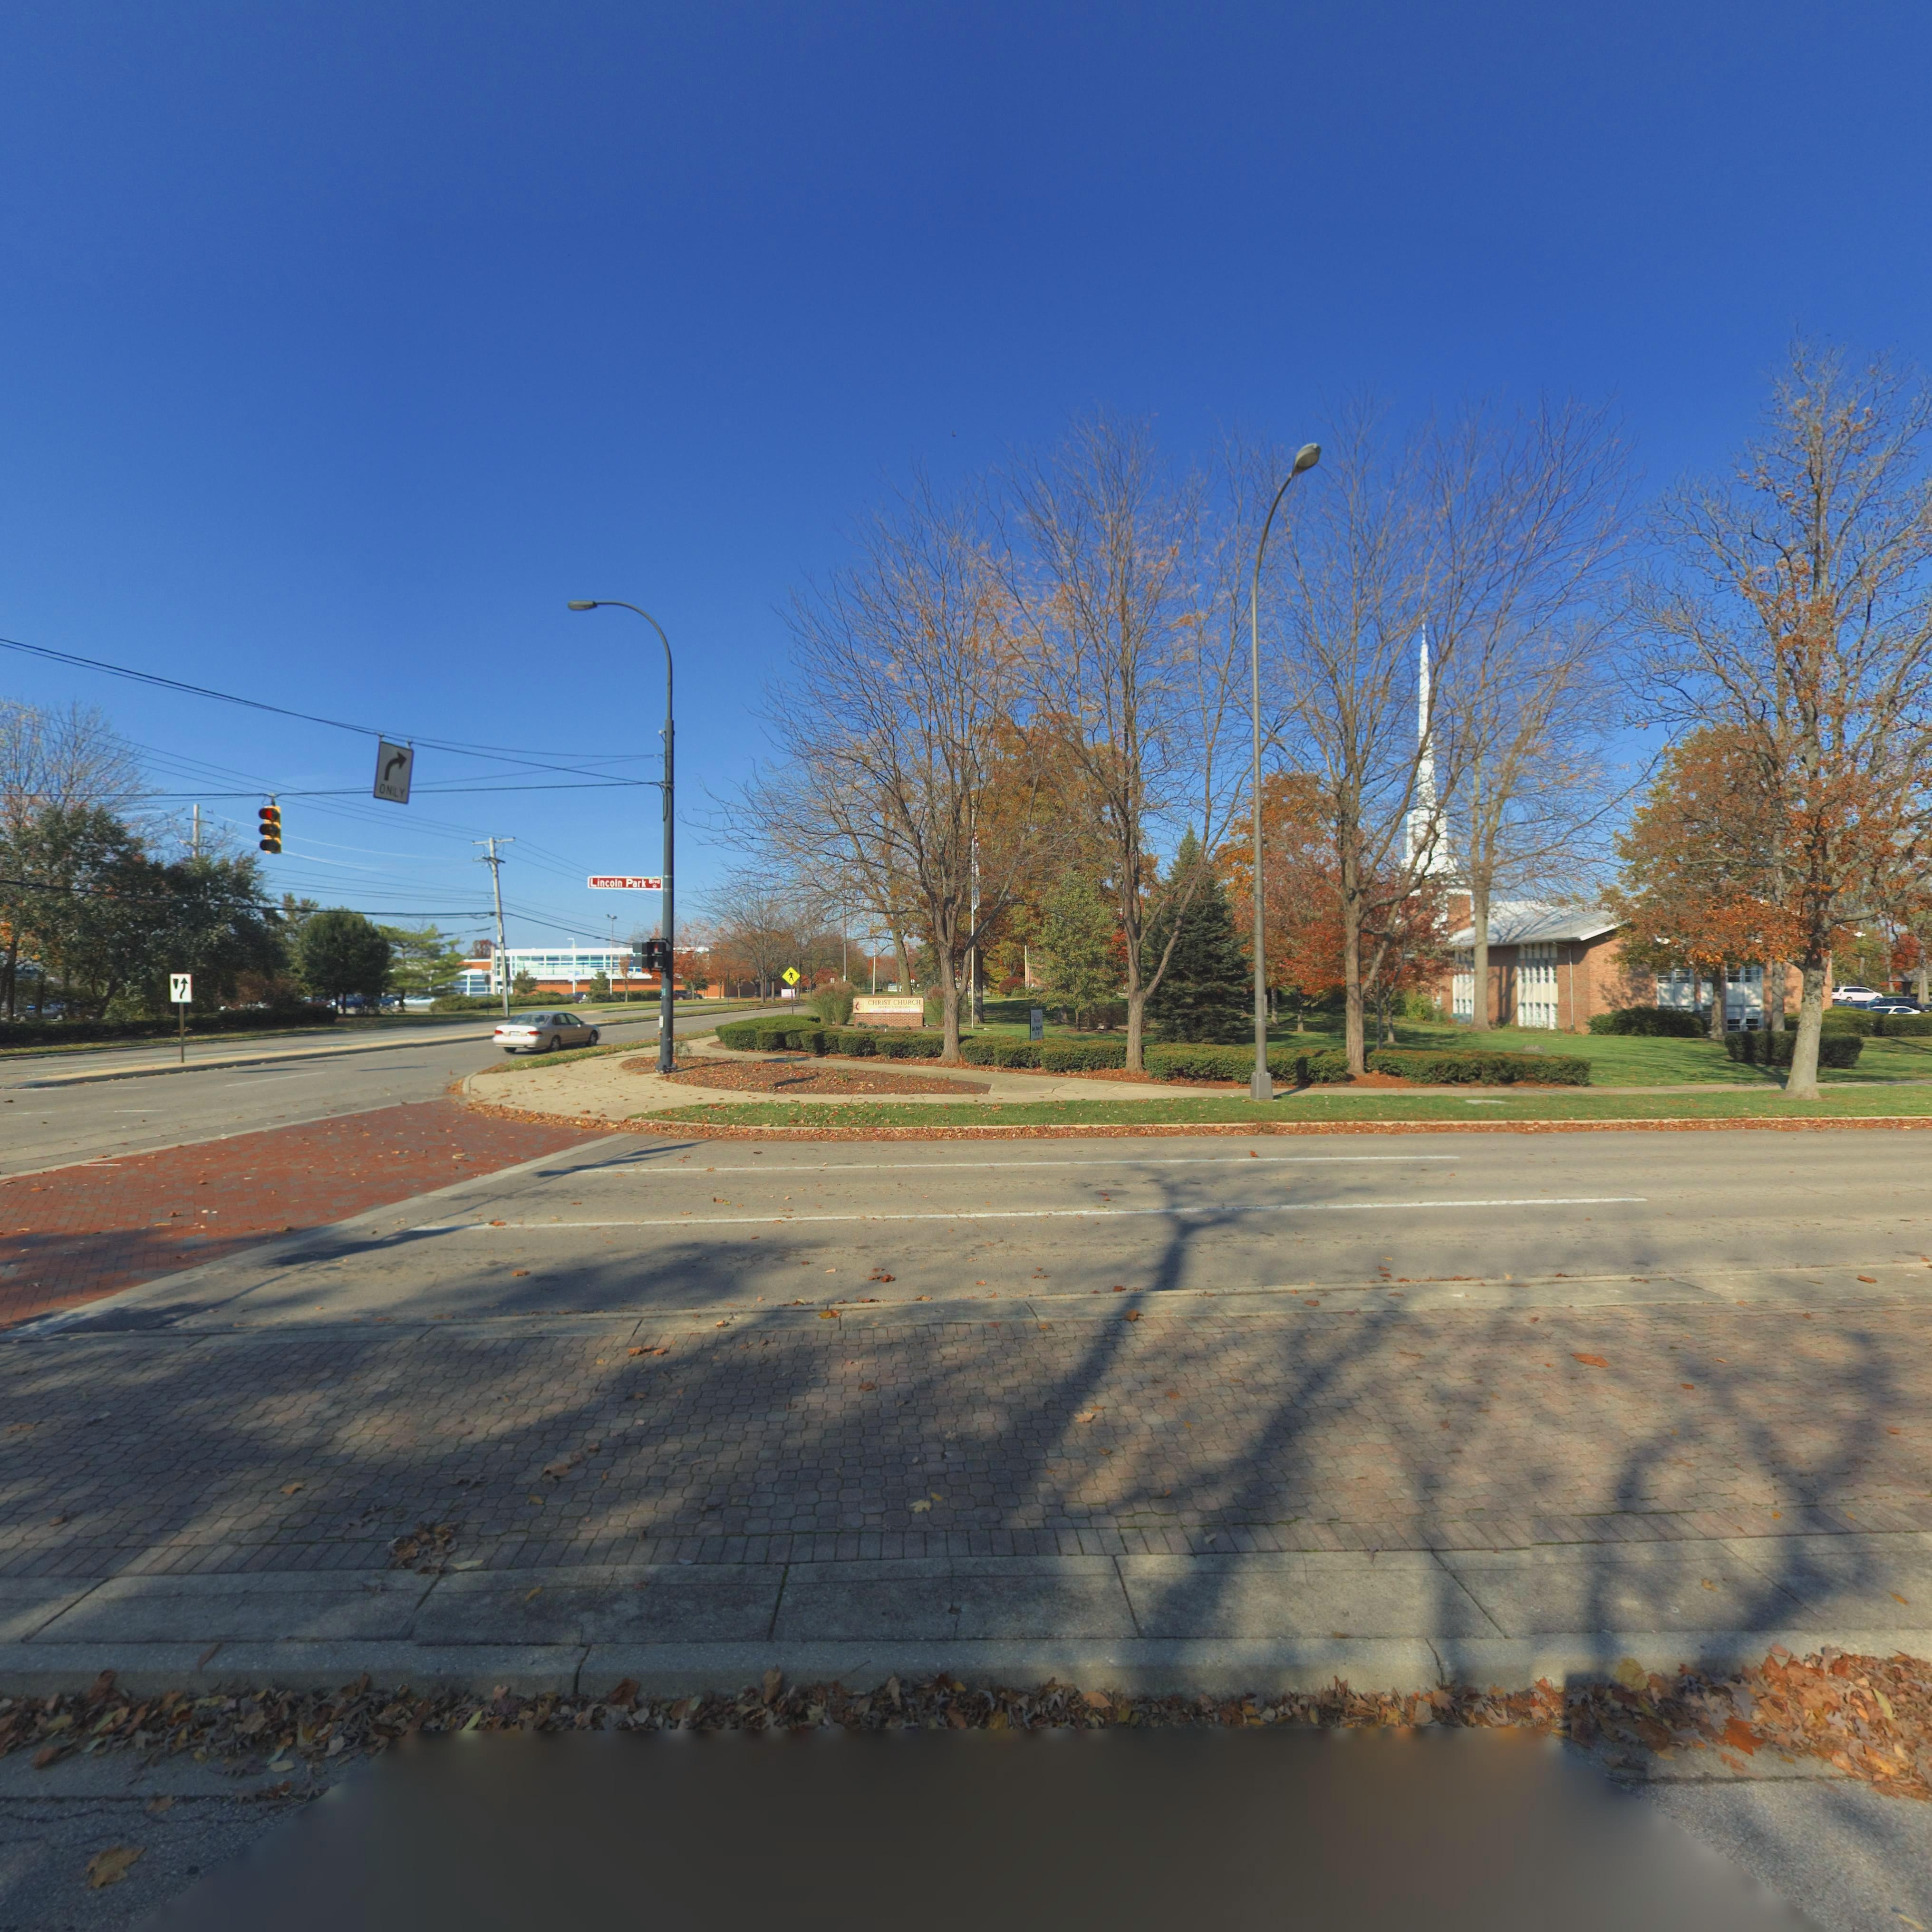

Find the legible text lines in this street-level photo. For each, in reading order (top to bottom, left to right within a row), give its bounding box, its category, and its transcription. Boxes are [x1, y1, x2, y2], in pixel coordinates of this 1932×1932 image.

[379, 781, 408, 799] None: ONLY
[590, 878, 660, 888] StreetName: Lincoln Park Blvd
[868, 999, 921, 1005] BusinessName: CHRIST CHURCH